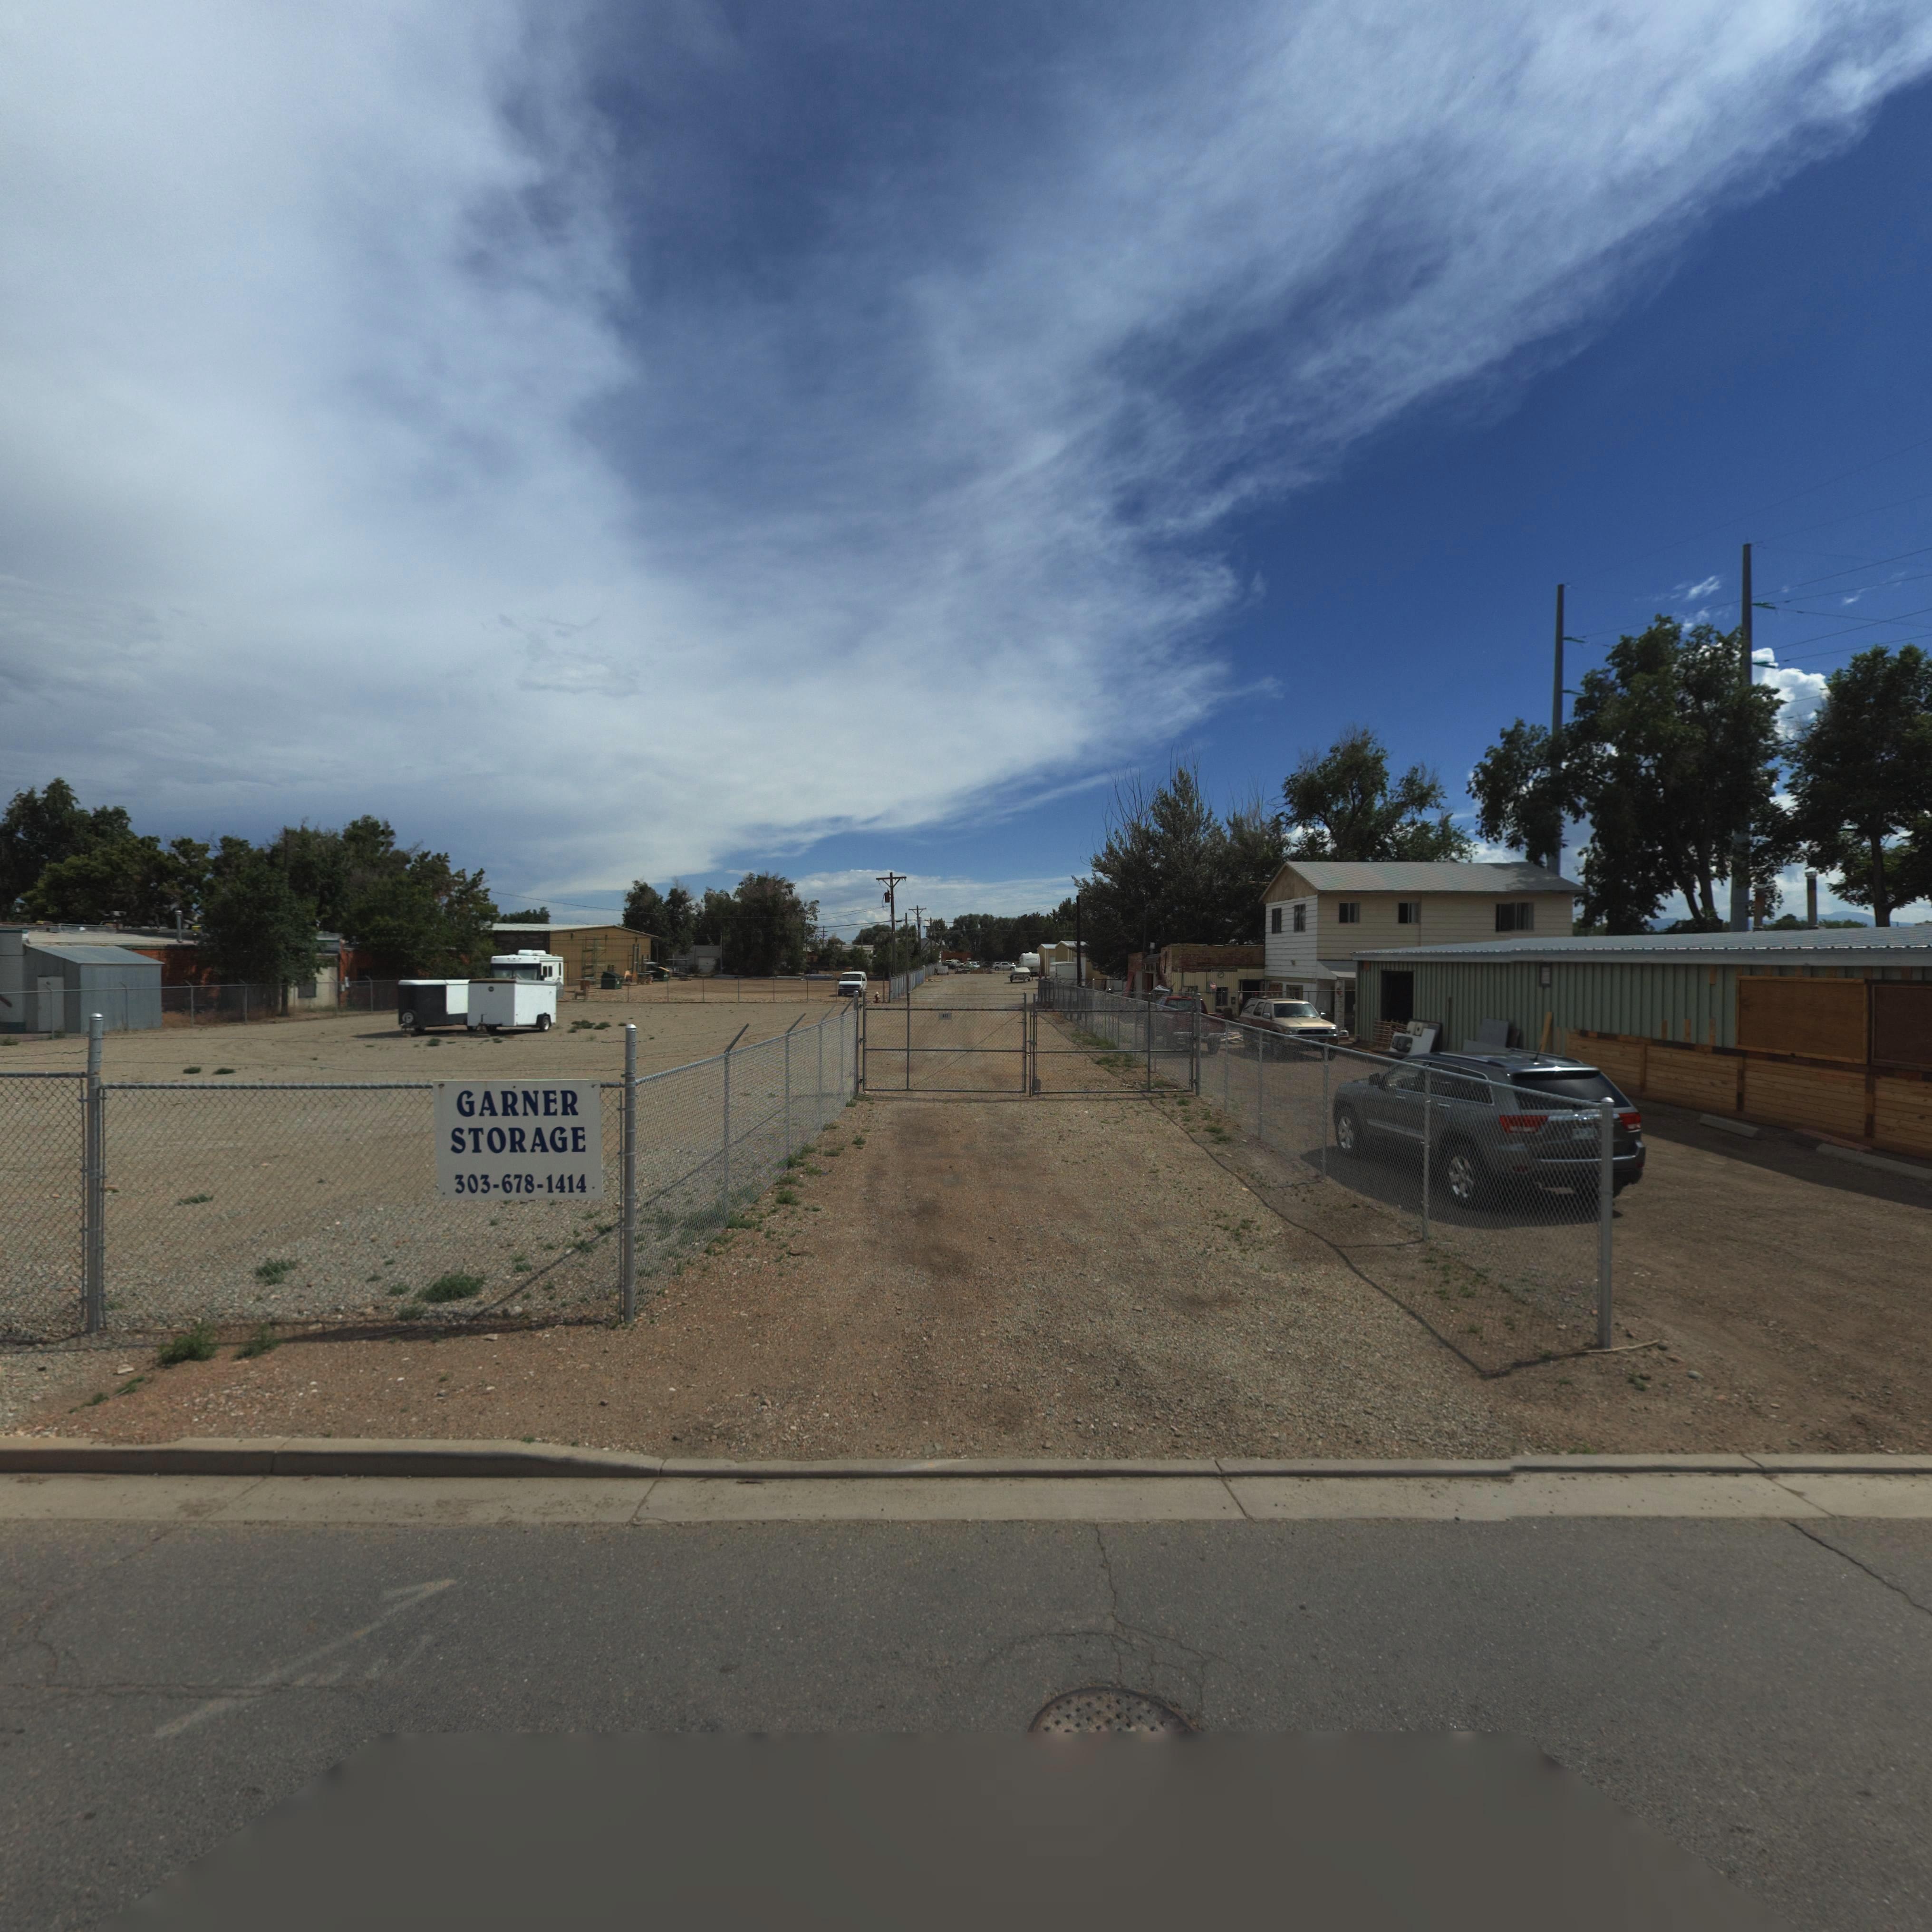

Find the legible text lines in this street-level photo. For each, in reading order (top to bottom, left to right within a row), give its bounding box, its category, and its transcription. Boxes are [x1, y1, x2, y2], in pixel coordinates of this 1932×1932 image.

[455, 1088, 580, 1119] BusinessName: GARNER
[450, 1126, 587, 1154] BusinessName: STORAGE